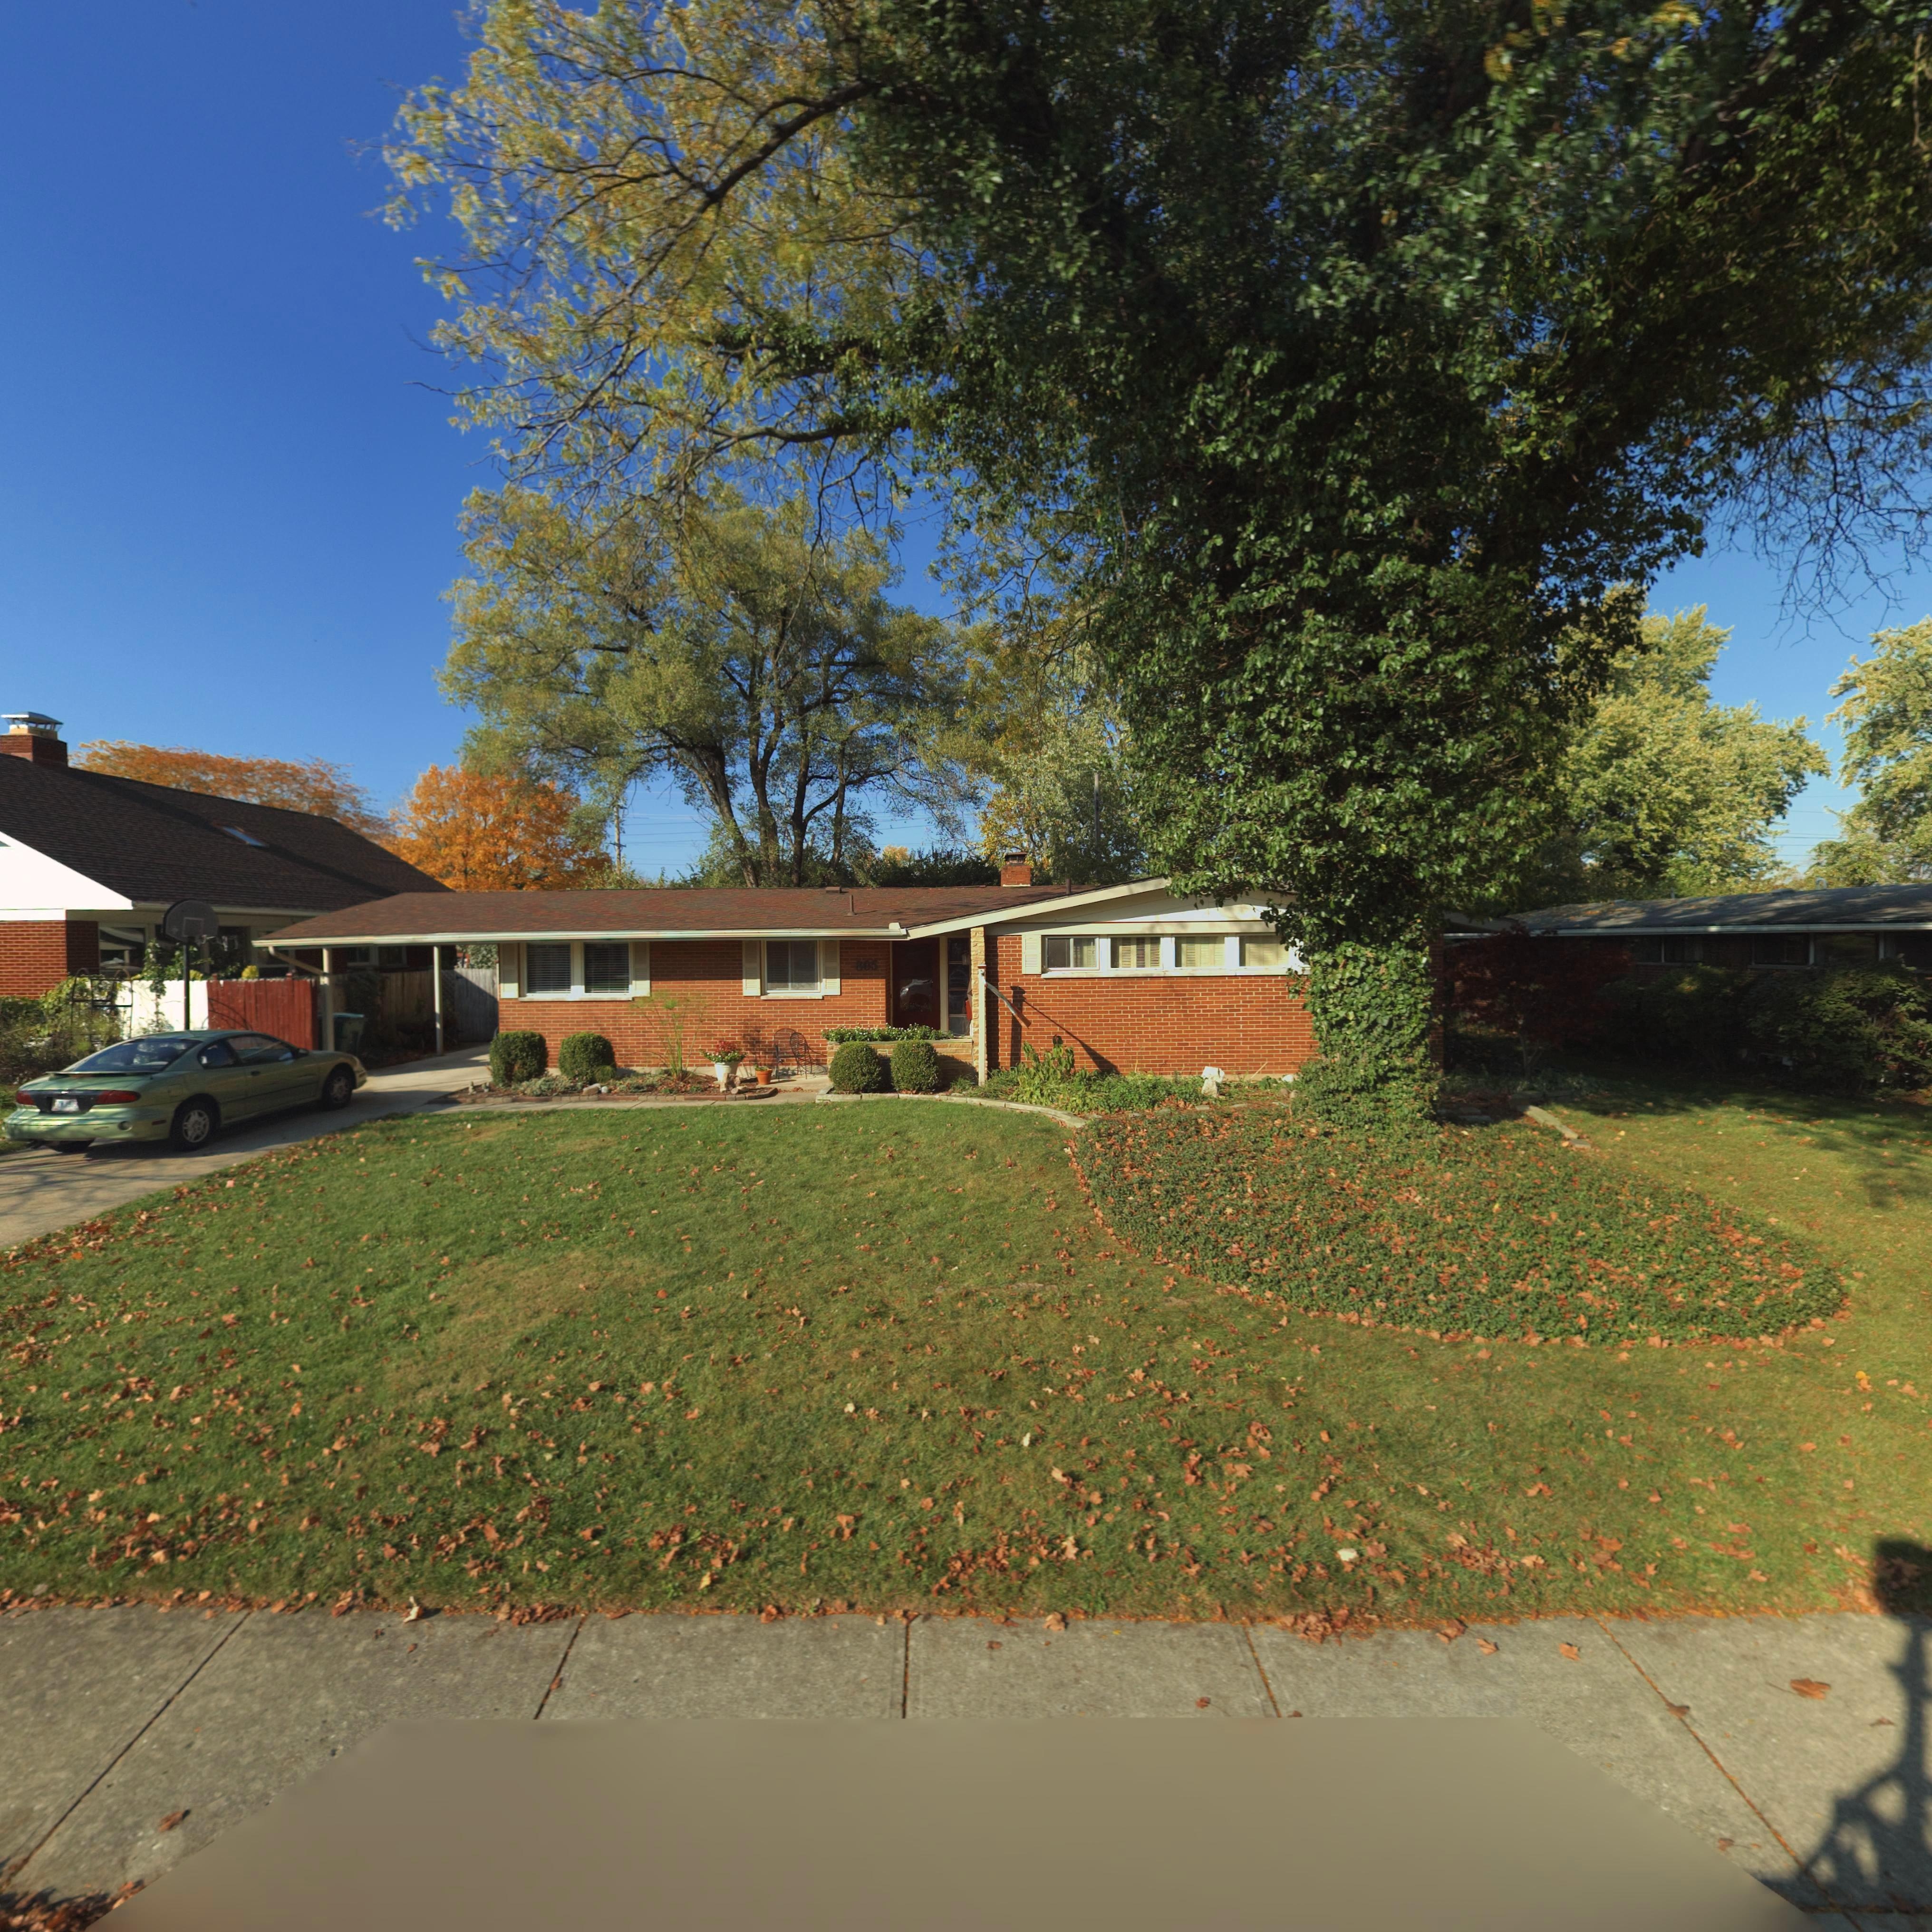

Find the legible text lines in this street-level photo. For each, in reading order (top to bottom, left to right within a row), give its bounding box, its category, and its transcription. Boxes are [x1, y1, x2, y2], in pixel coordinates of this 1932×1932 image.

[855, 959, 879, 972] StreetNumber: 805